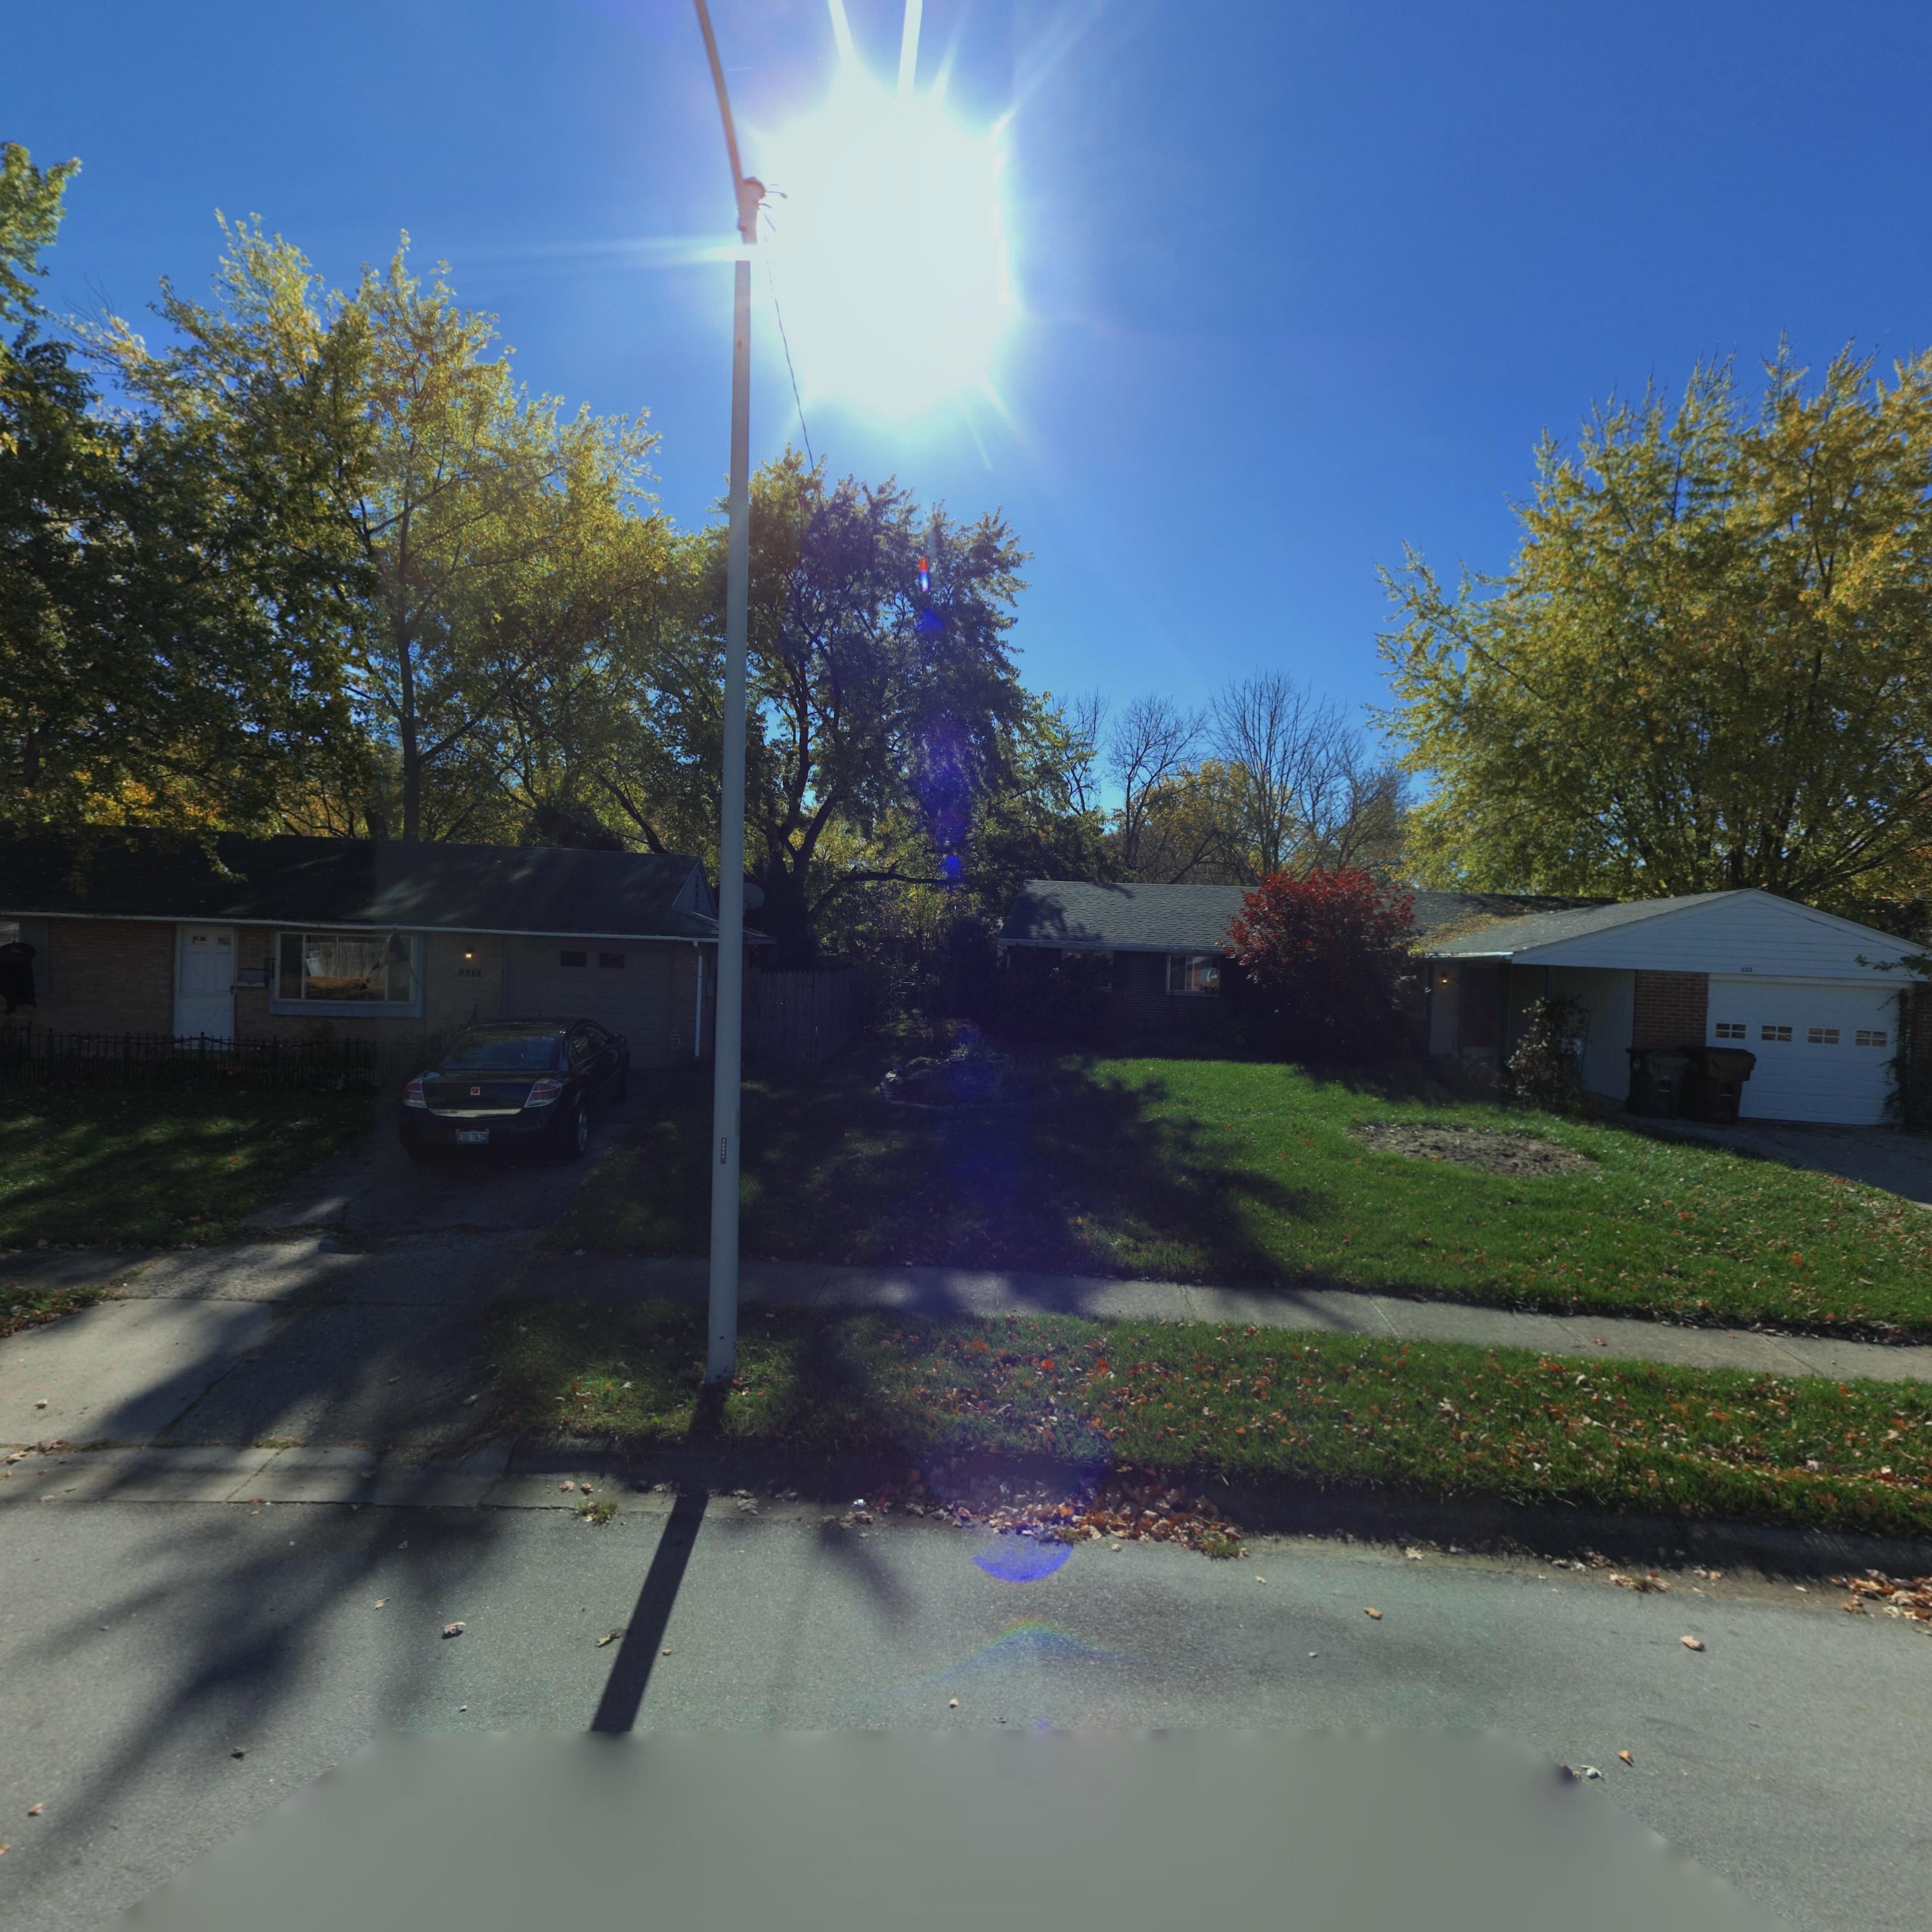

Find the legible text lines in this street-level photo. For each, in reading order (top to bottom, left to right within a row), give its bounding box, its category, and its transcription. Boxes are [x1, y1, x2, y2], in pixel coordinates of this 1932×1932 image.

[462, 968, 480, 977] StreetNumber: 335